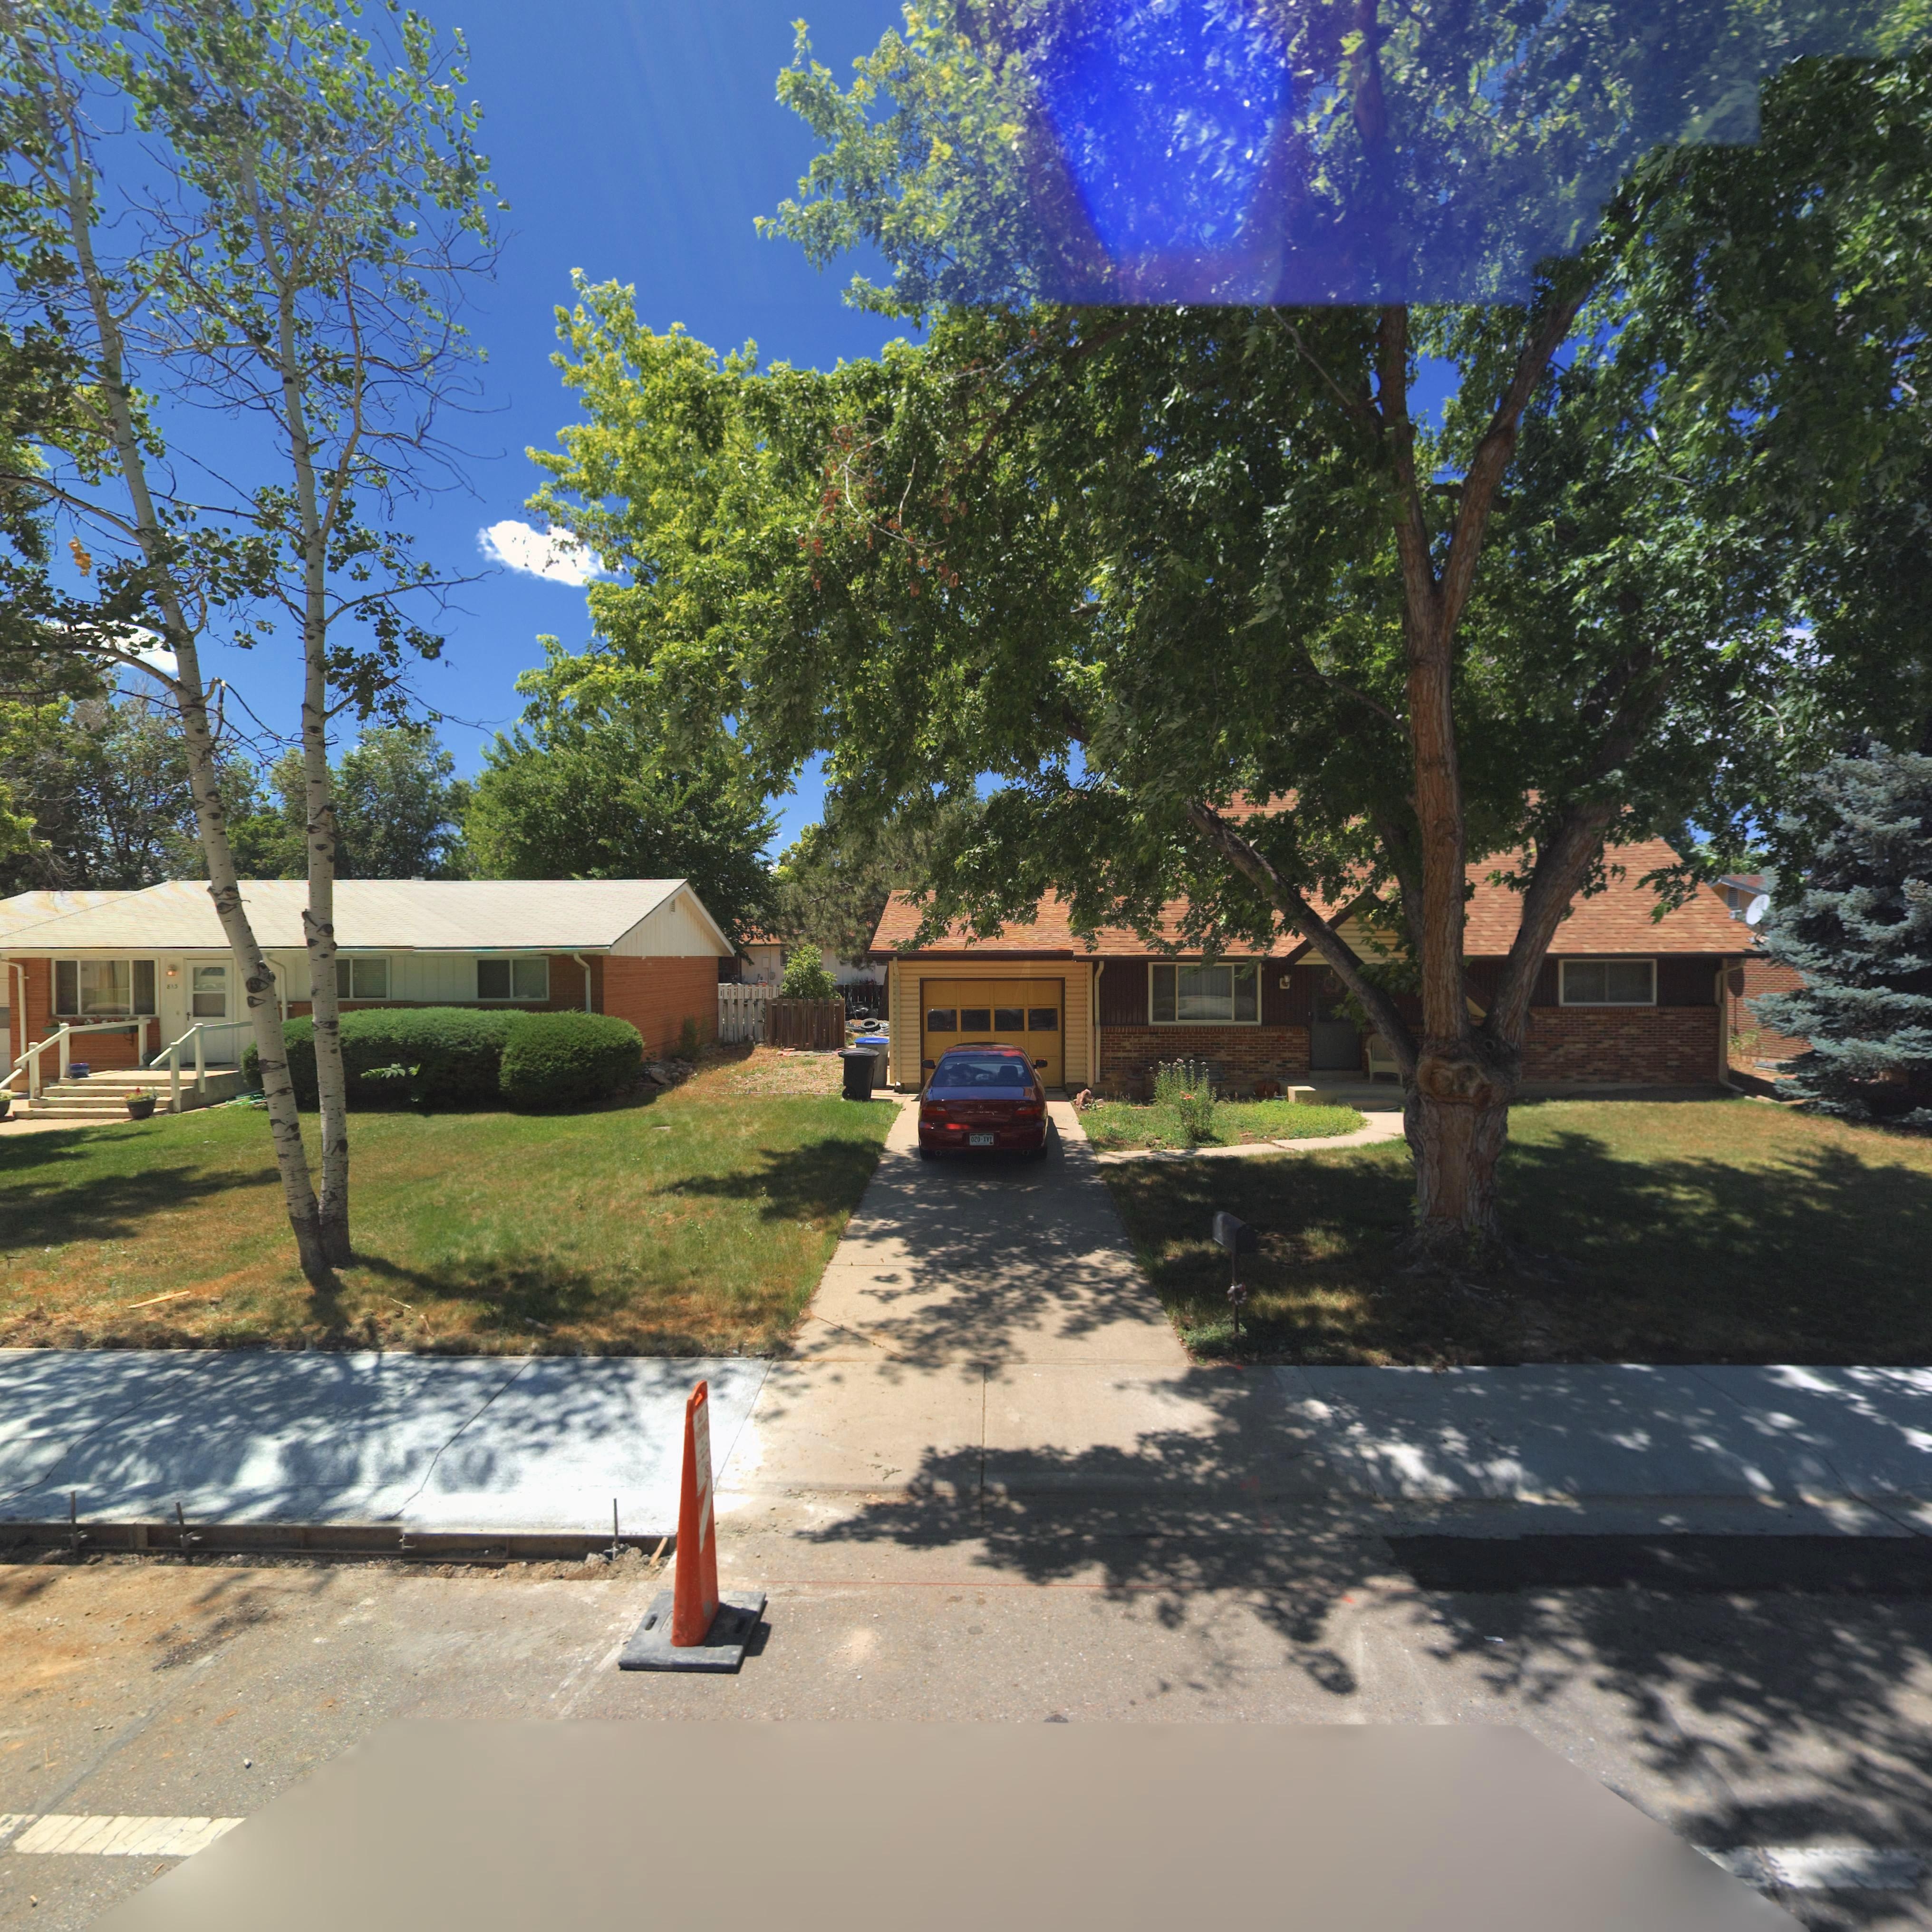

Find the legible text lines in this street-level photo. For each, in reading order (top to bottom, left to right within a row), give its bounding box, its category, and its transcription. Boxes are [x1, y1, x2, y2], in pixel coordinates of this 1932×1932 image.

[166, 983, 178, 989] StreetNumber: 81*